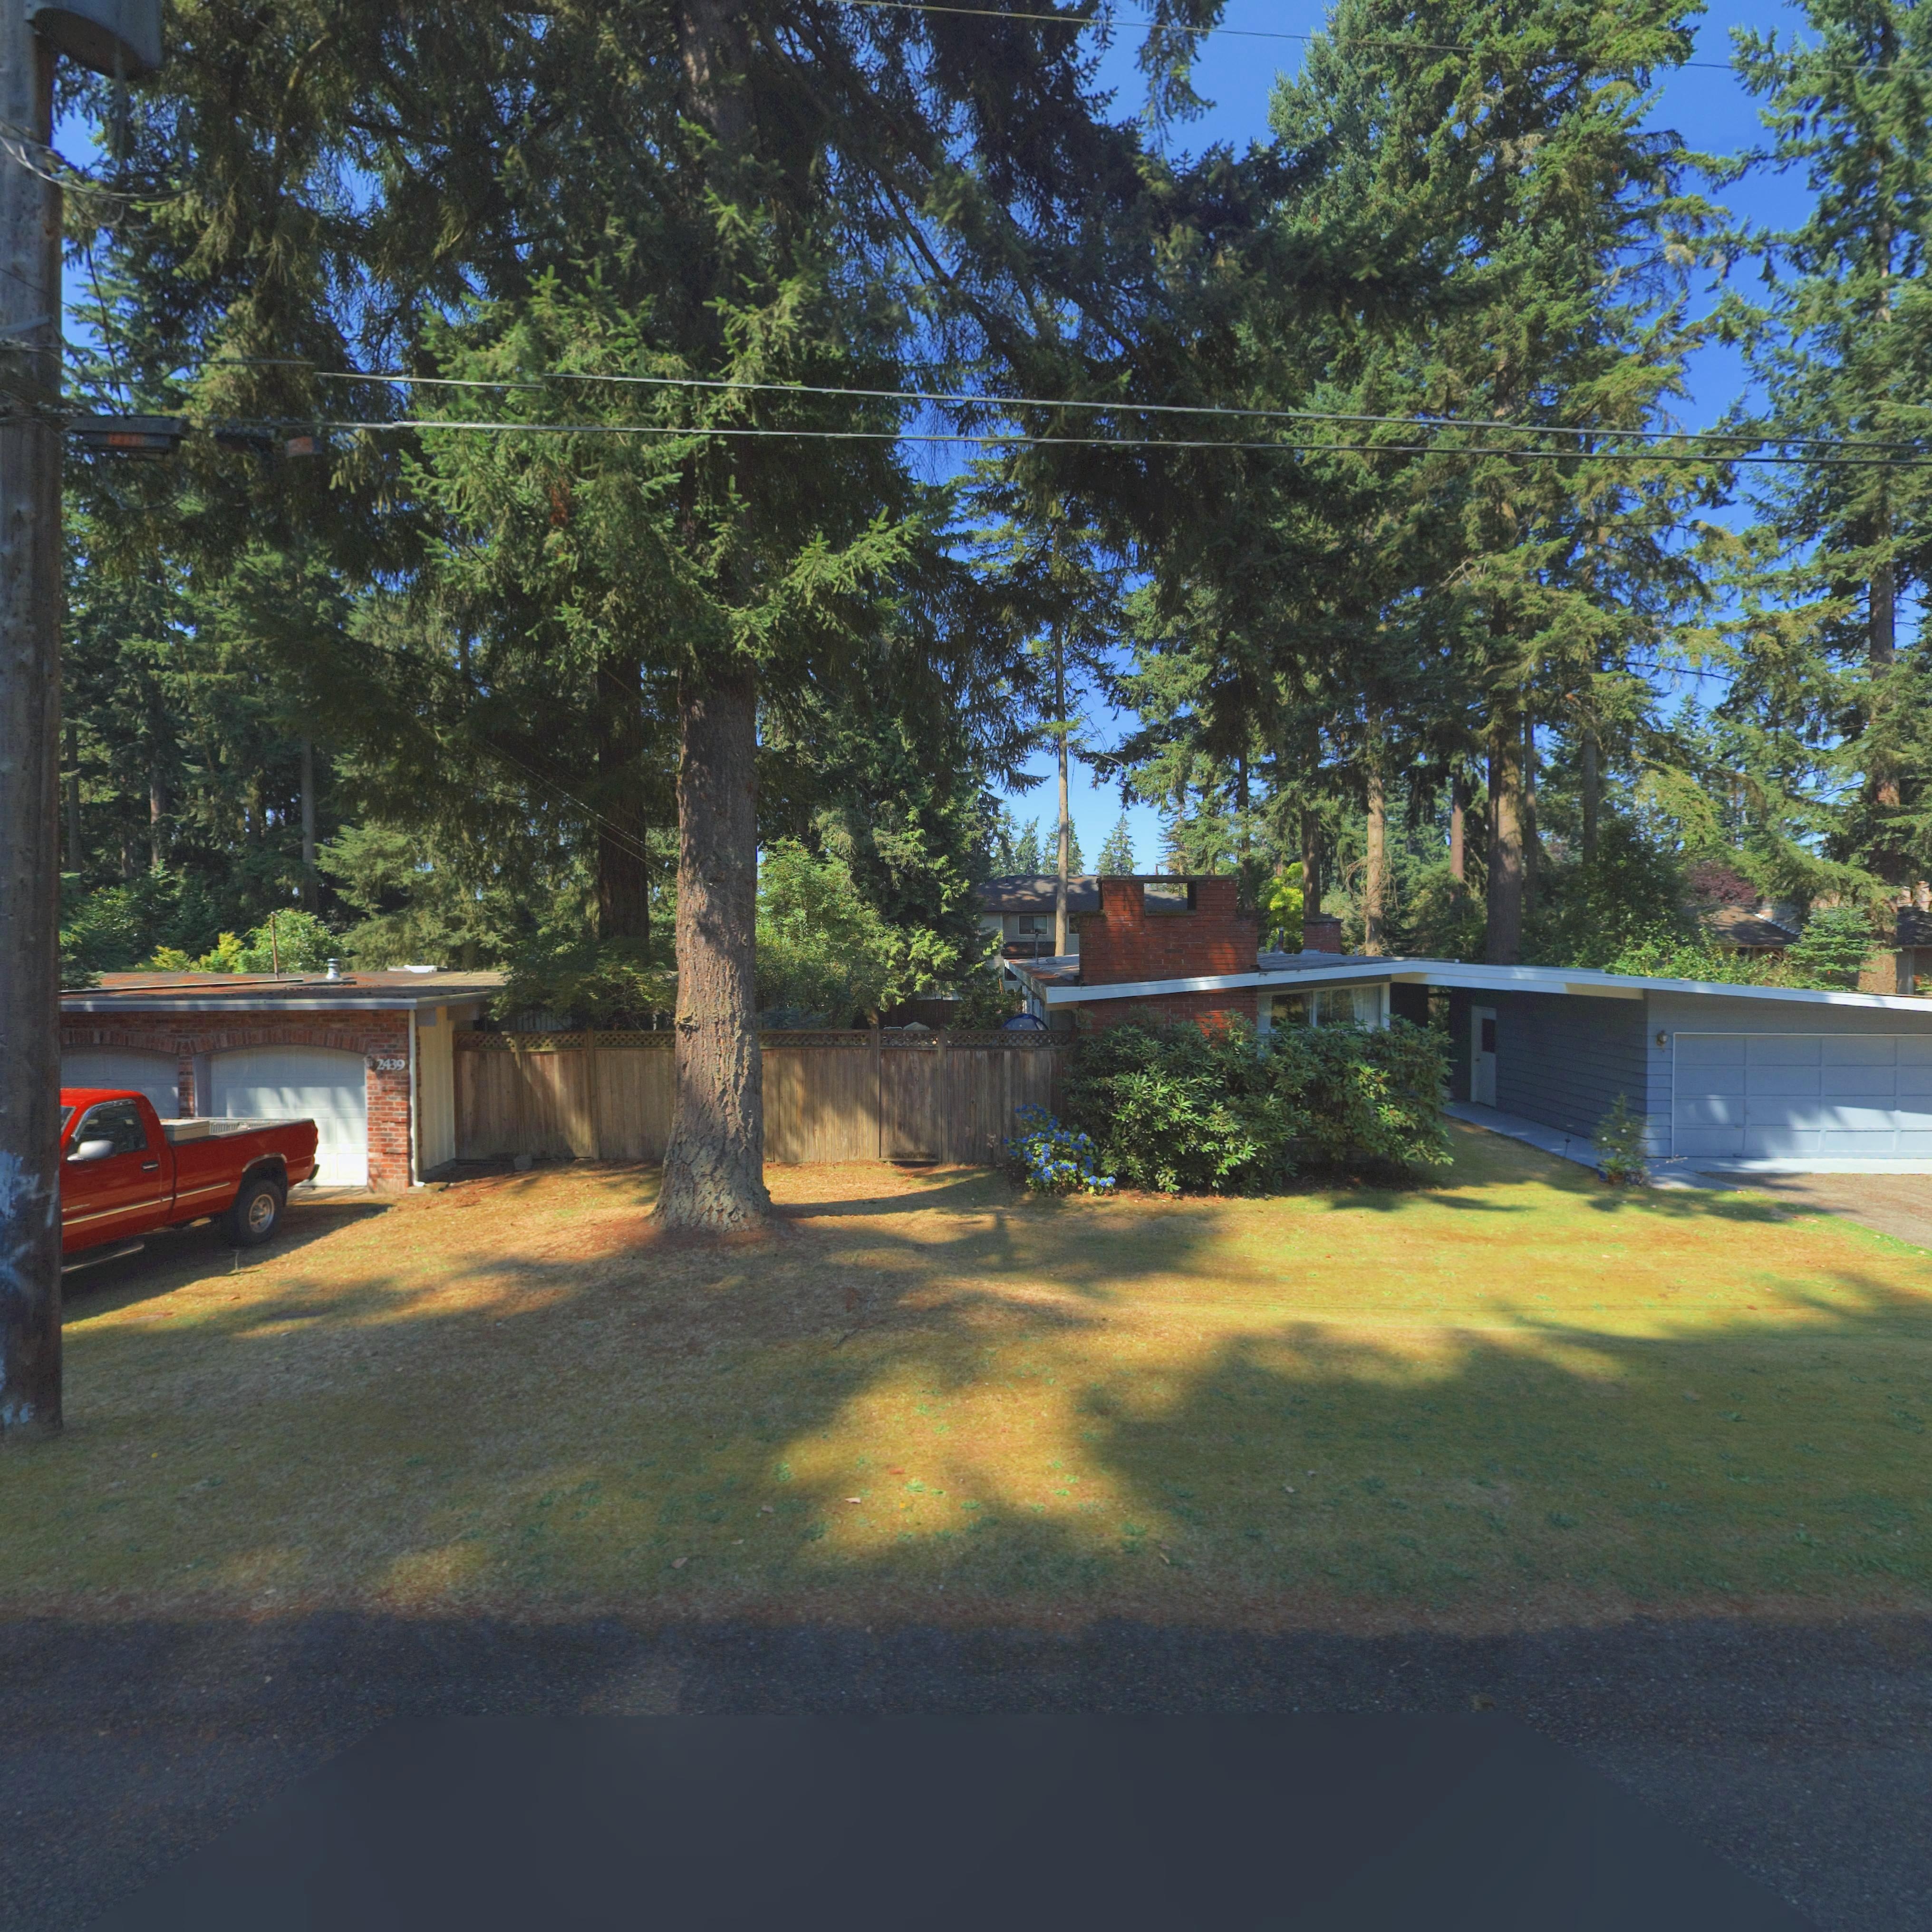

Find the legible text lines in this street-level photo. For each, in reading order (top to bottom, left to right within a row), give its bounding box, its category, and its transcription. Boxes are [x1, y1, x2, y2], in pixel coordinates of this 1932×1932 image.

[375, 1057, 407, 1072] StreetNumber: 2439